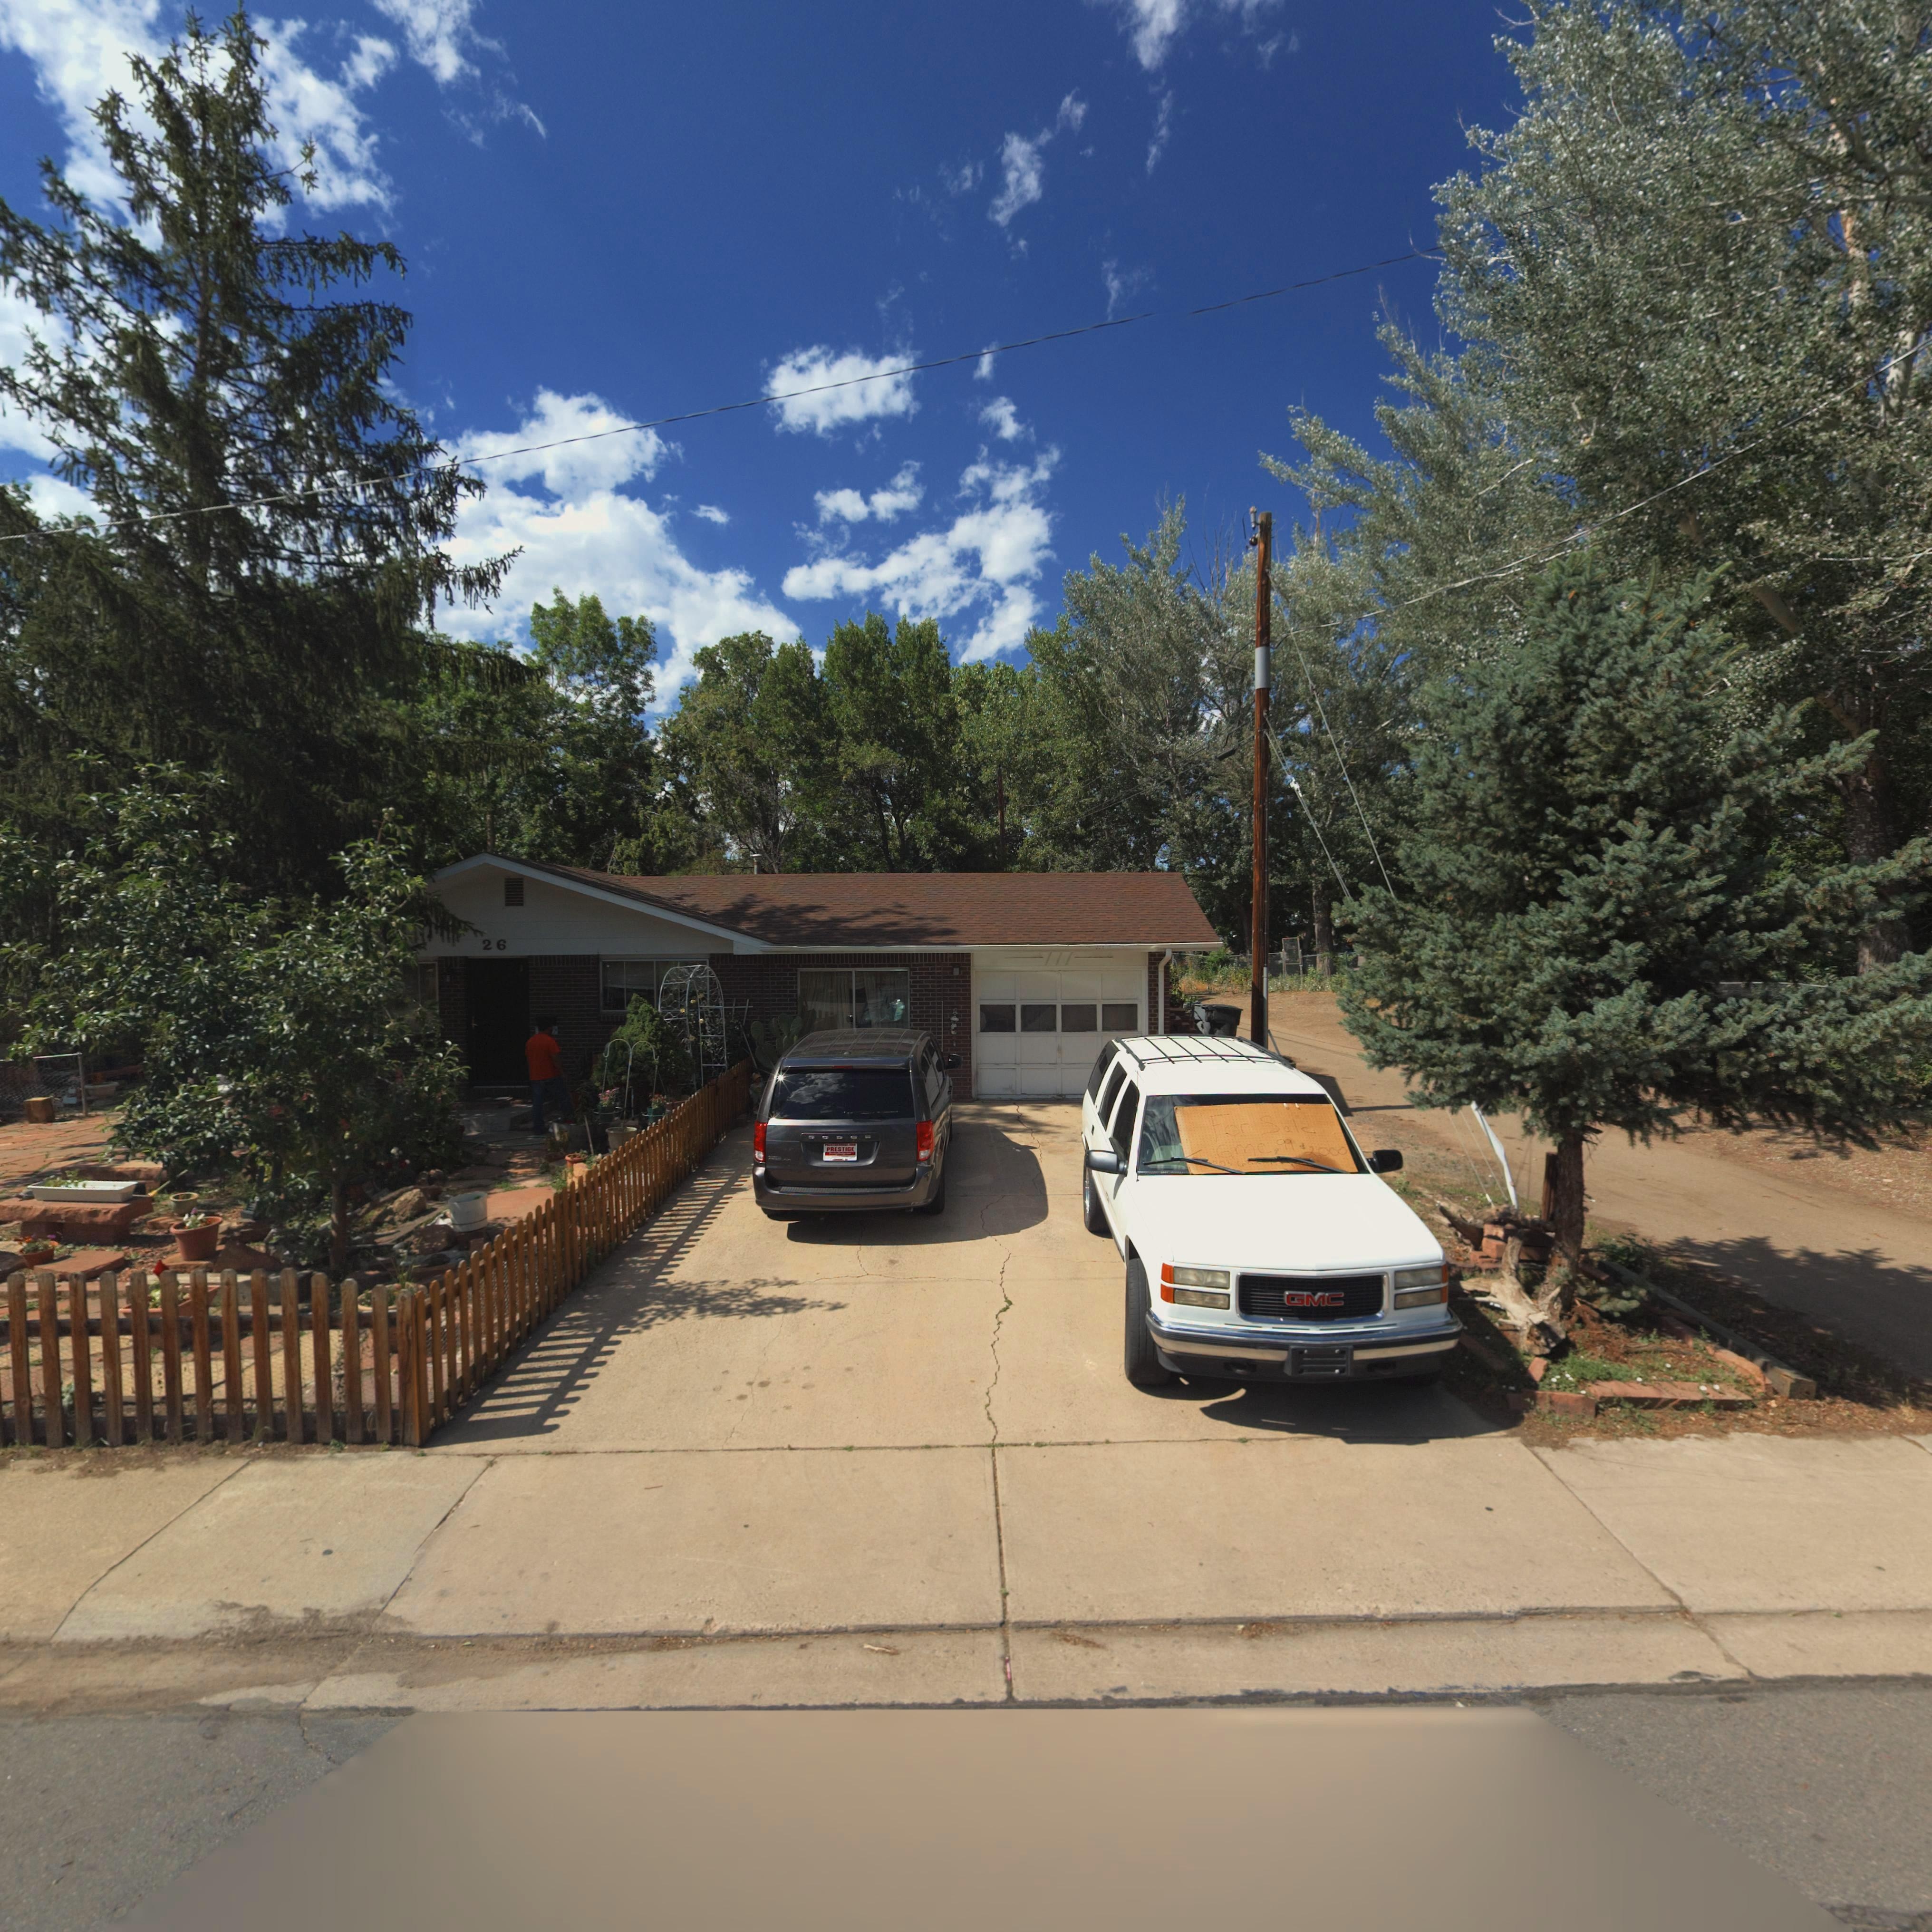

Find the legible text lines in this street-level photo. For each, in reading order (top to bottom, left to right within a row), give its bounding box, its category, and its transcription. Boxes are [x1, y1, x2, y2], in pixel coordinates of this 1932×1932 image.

[482, 939, 506, 950] StreetNumber: 26